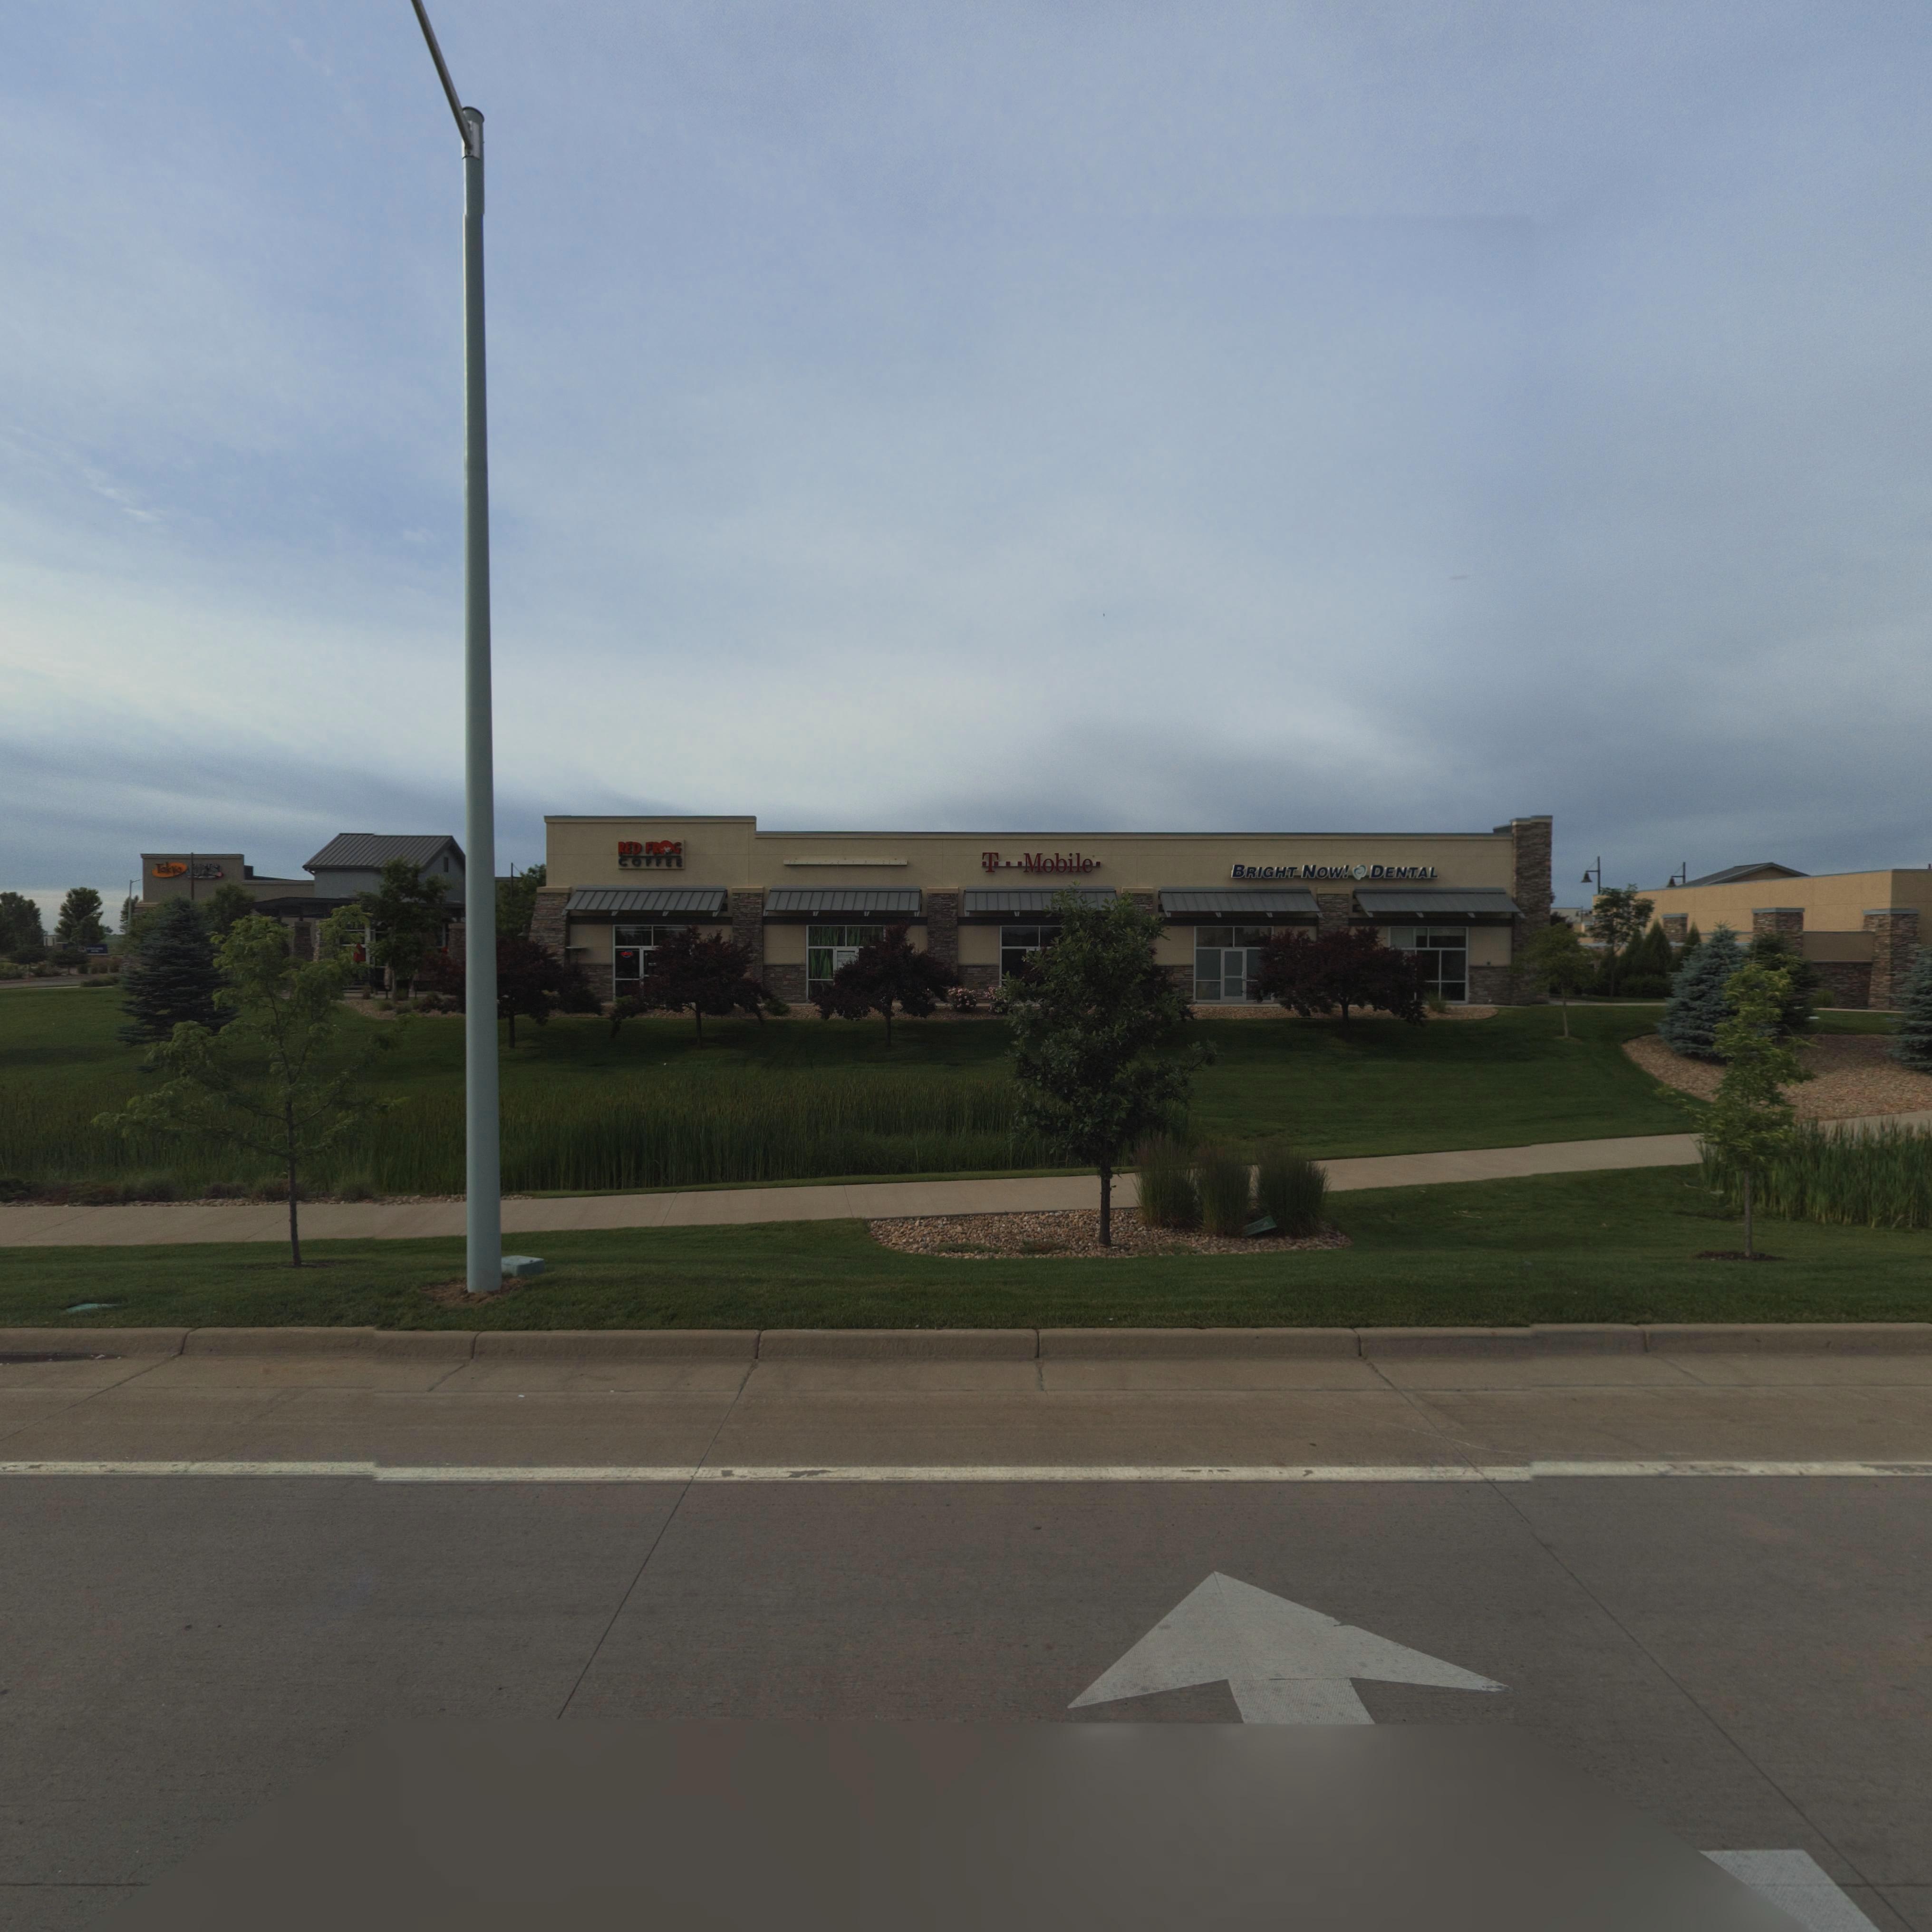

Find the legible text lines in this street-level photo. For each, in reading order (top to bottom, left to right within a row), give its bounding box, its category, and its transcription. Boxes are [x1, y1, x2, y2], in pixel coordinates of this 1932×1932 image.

[618, 839, 682, 855] BusinessName: RED FR*G
[155, 861, 222, 877] BusinessName: Tokyo *O*'S
[618, 857, 682, 867] BusinessName: COFFEE
[981, 852, 1094, 873] BusinessName: T***Mobile
[1230, 863, 1438, 879] BusinessName: BRIGHT NOW! DENTAL